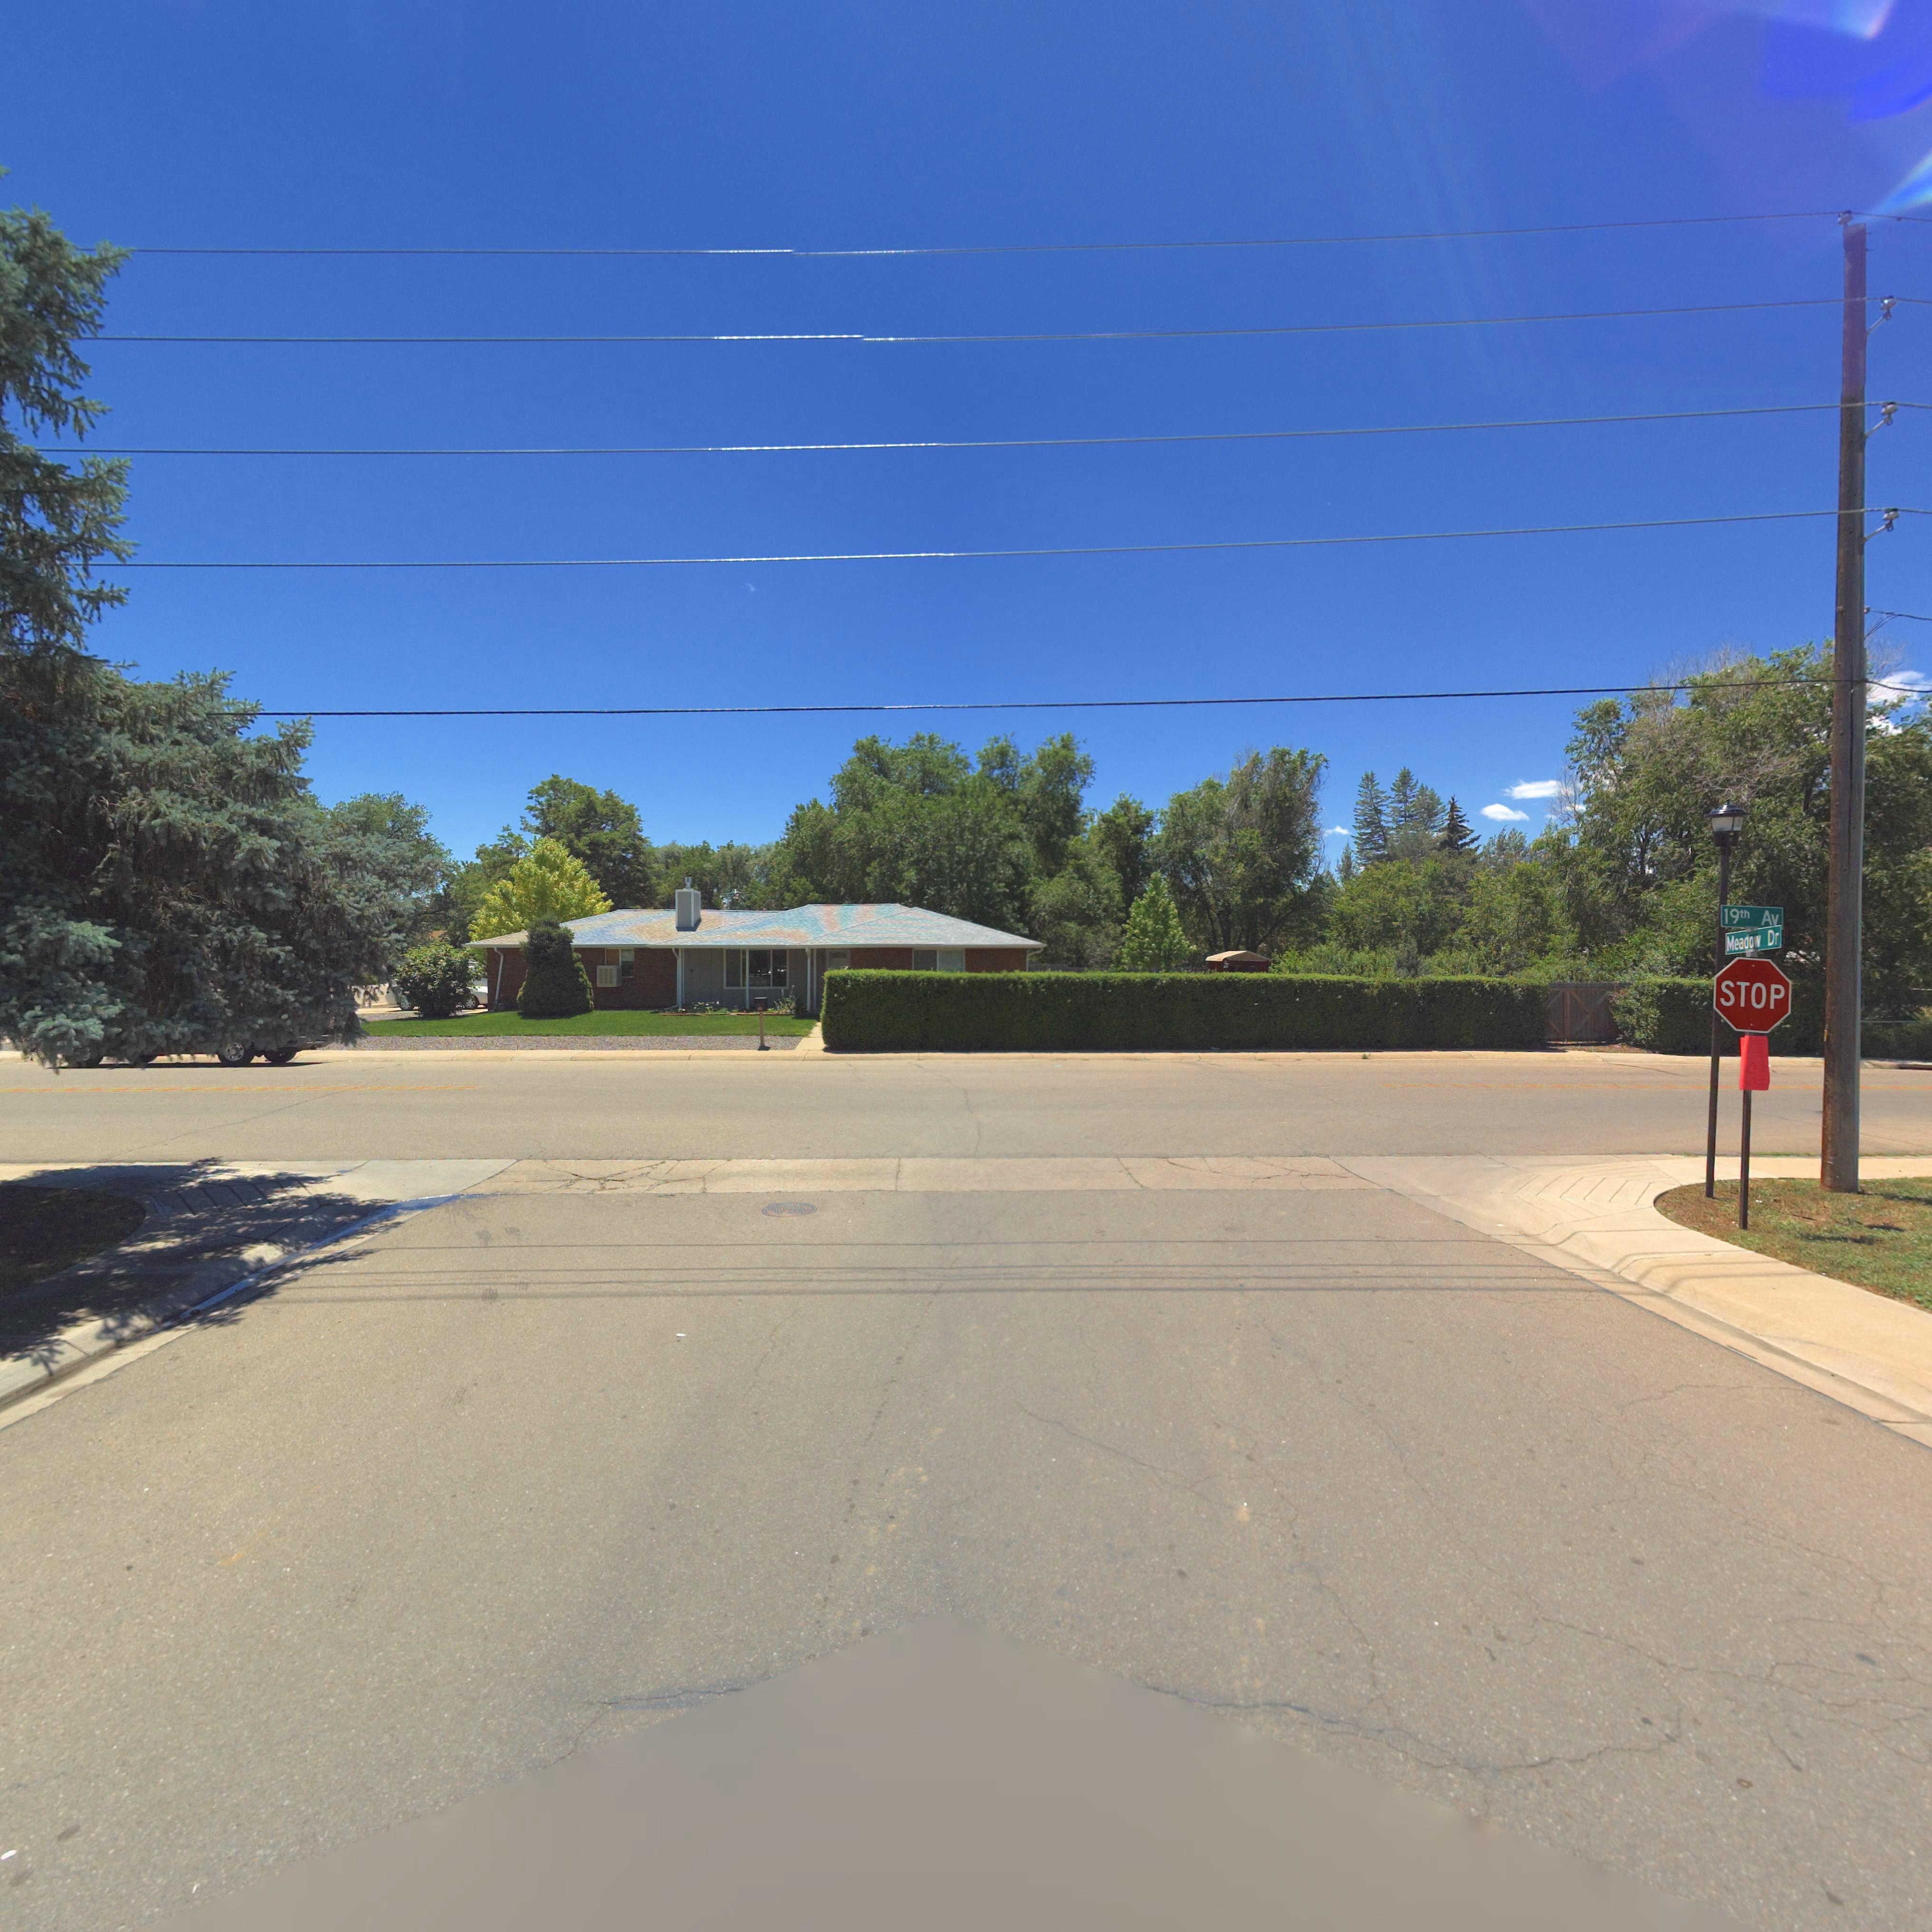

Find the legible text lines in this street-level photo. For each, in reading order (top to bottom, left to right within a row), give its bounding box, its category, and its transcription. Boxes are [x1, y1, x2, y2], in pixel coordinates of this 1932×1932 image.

[1723, 908, 1779, 927] StreetName: 19th Av
[1726, 929, 1779, 952] StreetName: Meadow Dr